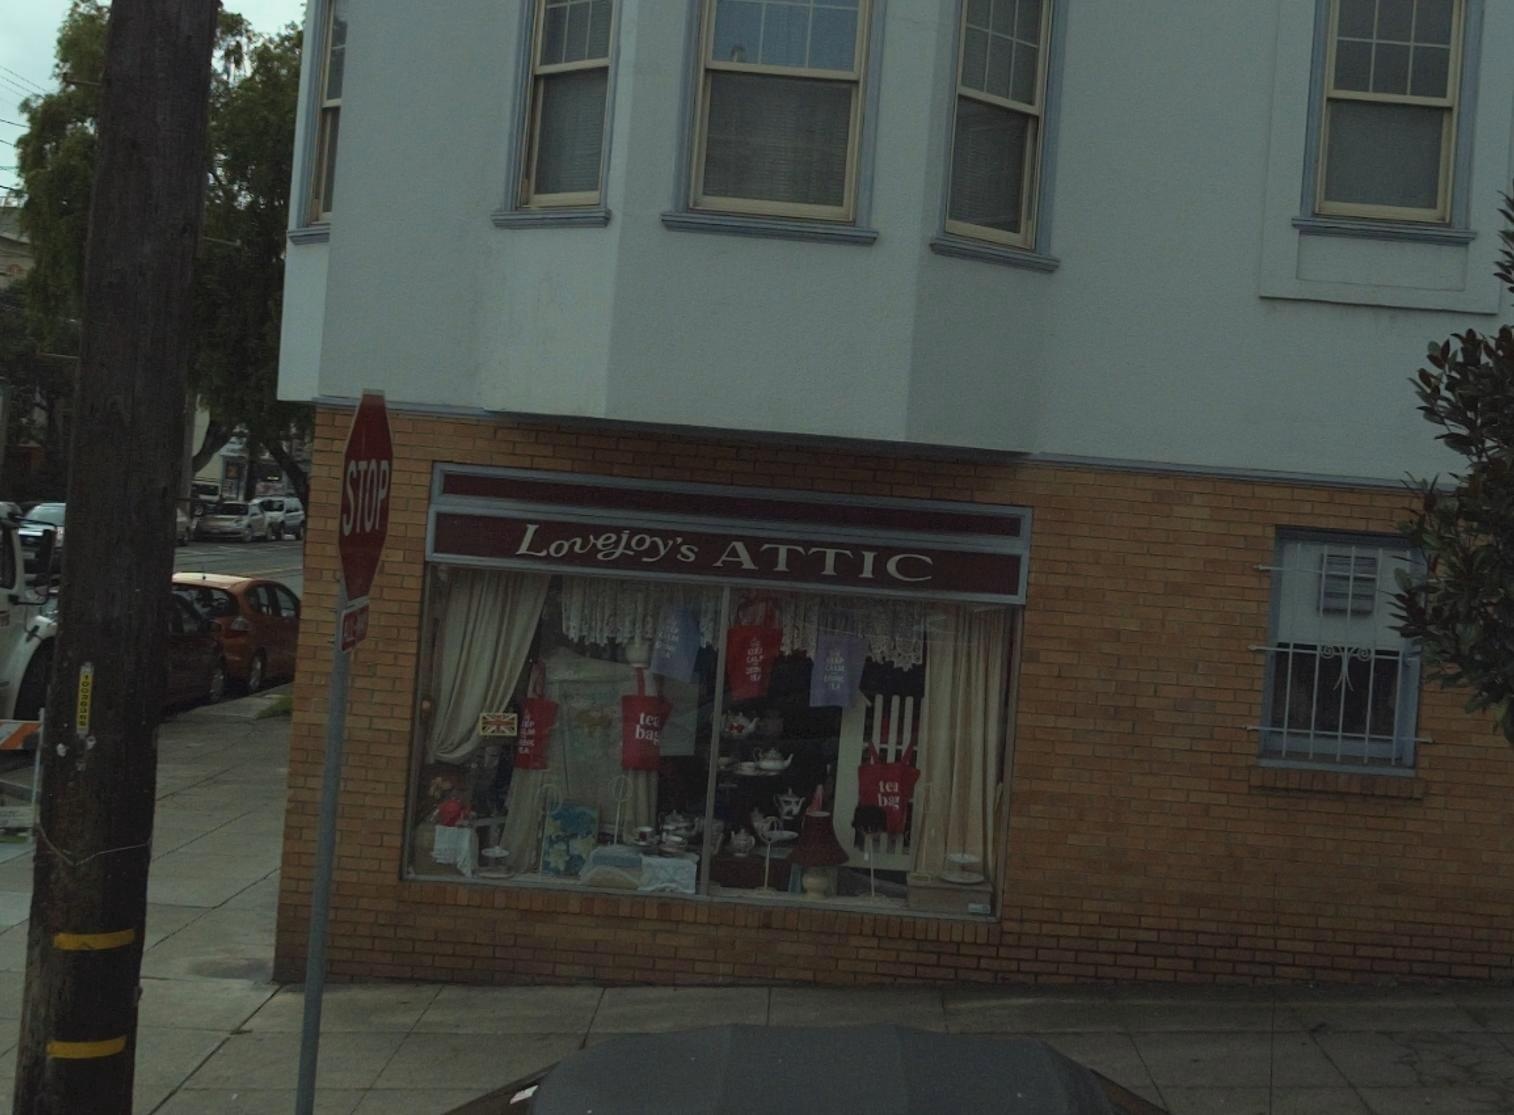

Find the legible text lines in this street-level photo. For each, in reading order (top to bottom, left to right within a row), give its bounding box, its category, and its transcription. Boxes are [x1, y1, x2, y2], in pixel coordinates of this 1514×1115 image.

[340, 457, 392, 539] None: STOP
[514, 523, 937, 584] BusinessName: Lovejoy's ATTIC
[77, 672, 91, 695] None: 100
[637, 710, 655, 727] None: te
[634, 723, 655, 741] None: ba
[877, 777, 894, 794] None: te
[876, 793, 888, 809] None: b